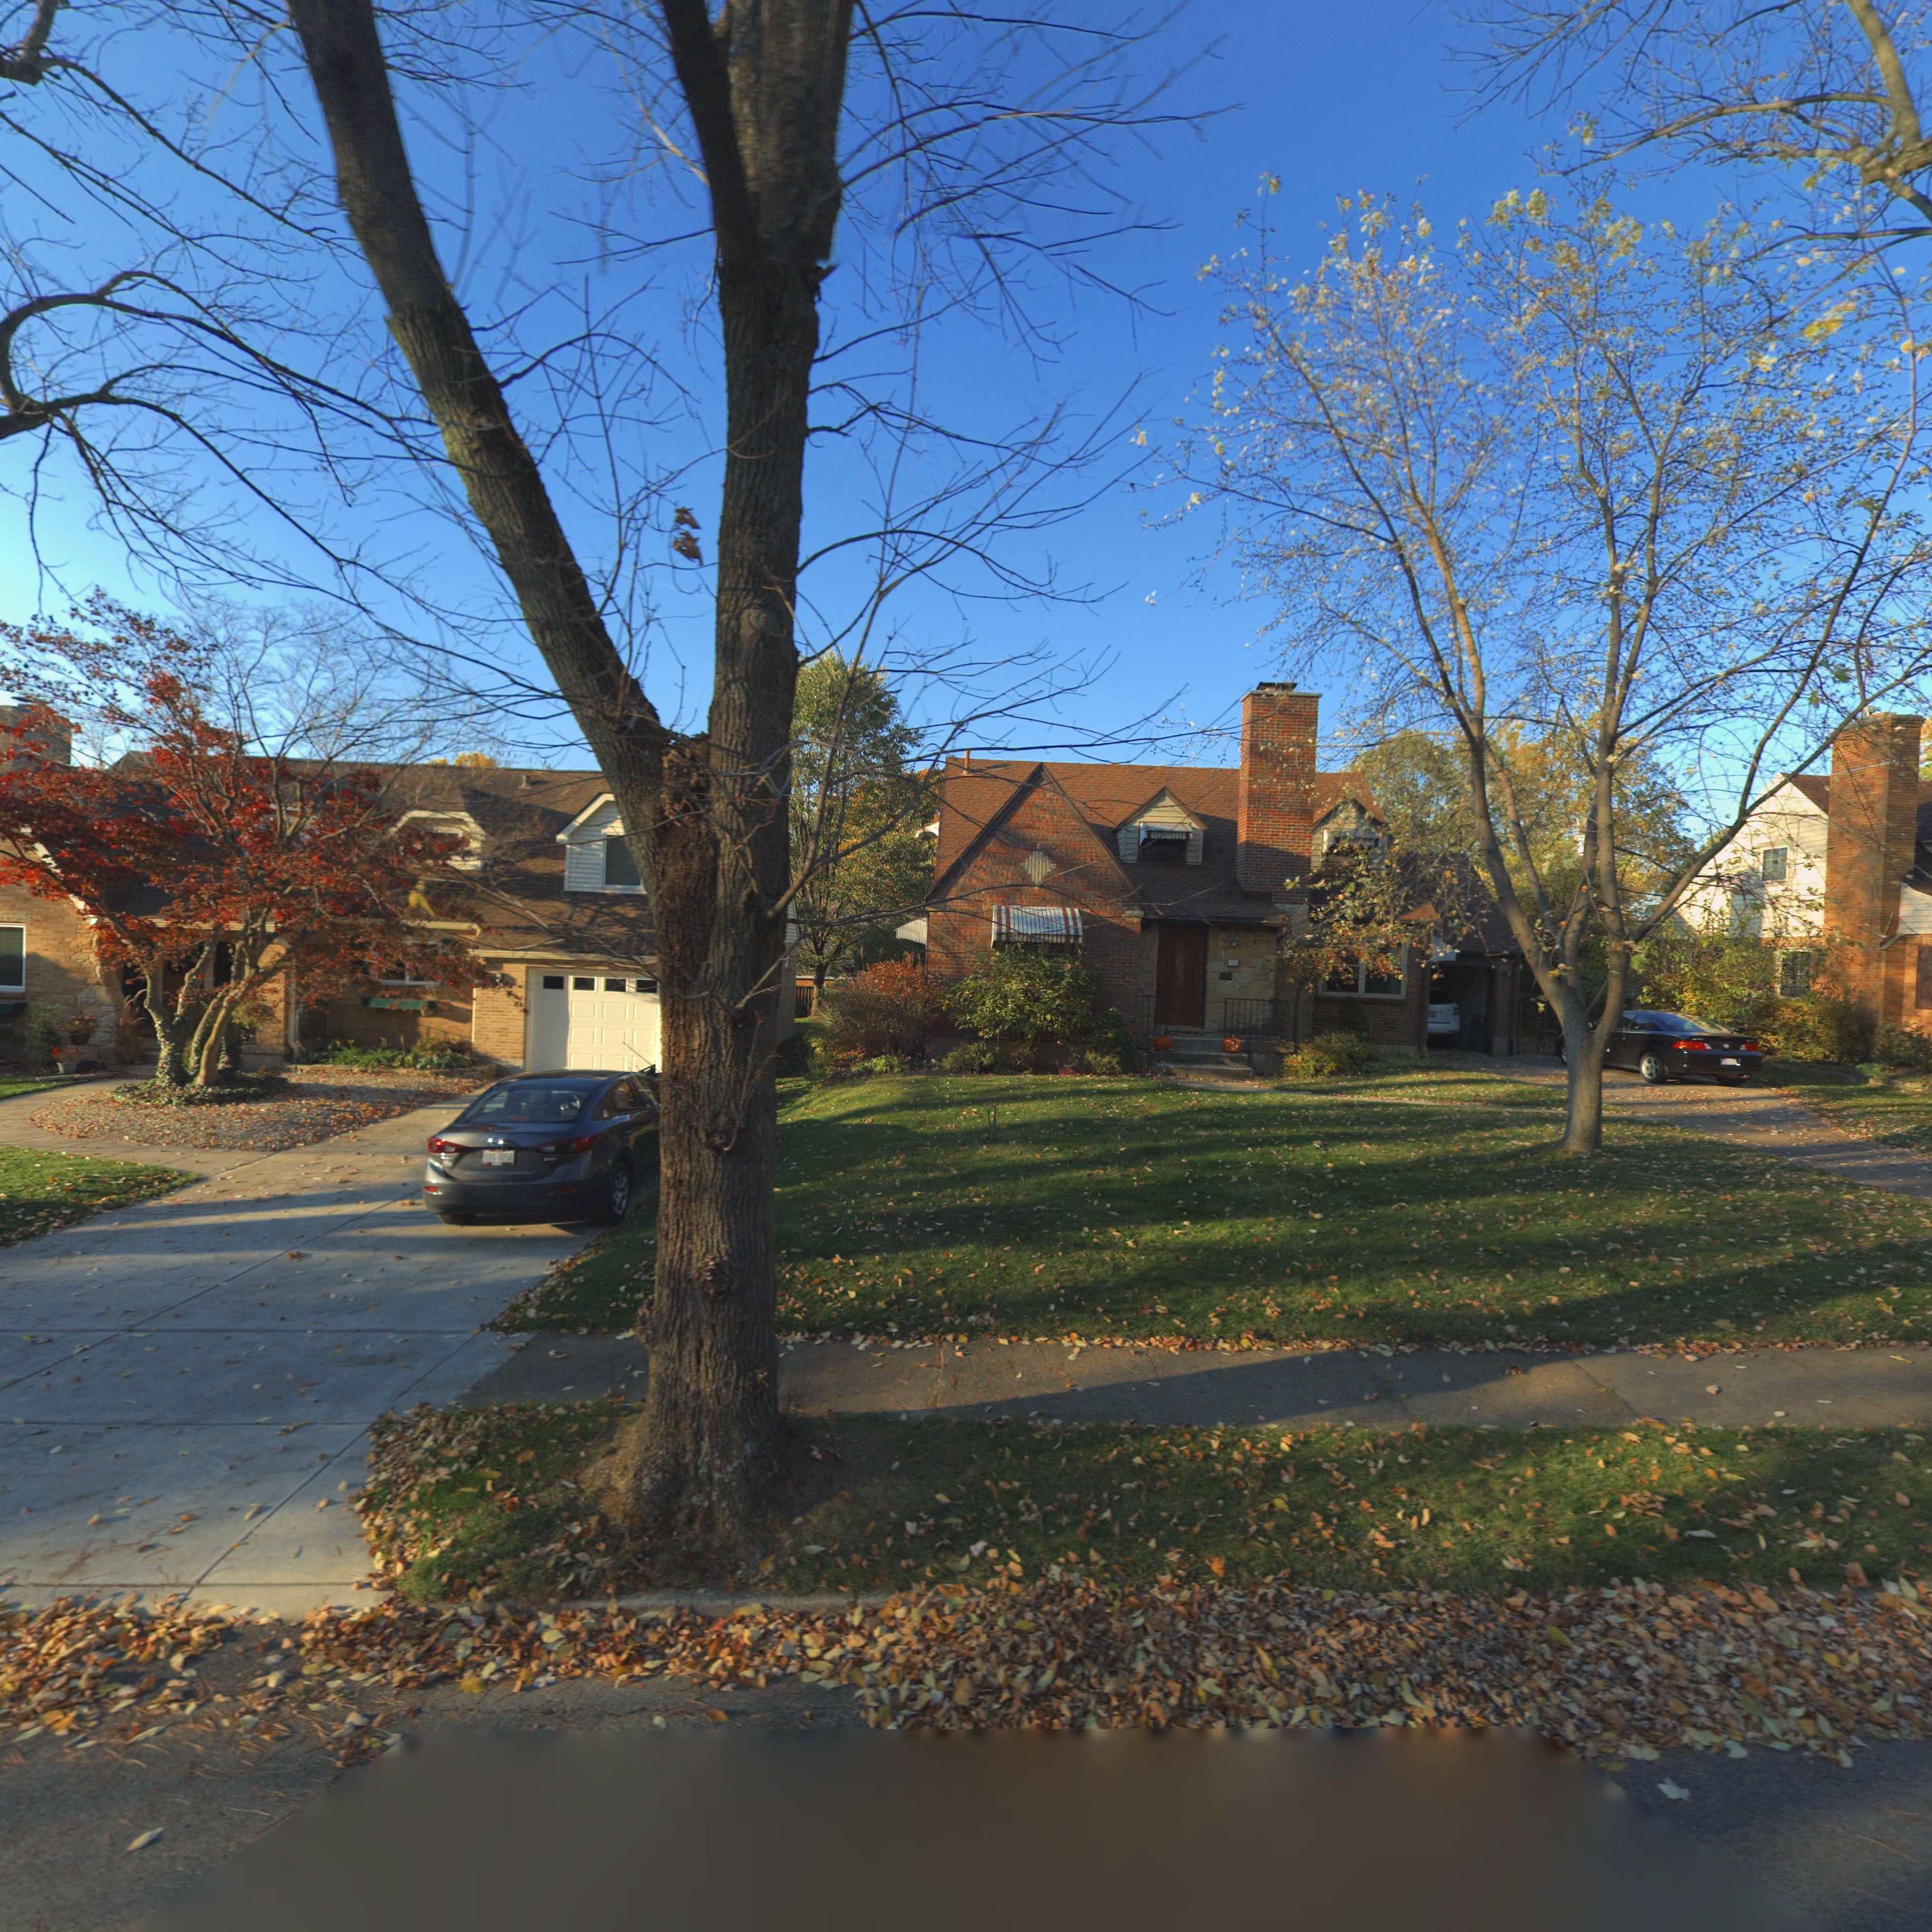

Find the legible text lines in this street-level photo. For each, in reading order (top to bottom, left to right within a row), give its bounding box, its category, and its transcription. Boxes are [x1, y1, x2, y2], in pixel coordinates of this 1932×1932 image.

[1229, 960, 1237, 965] StreetNumber: 1**